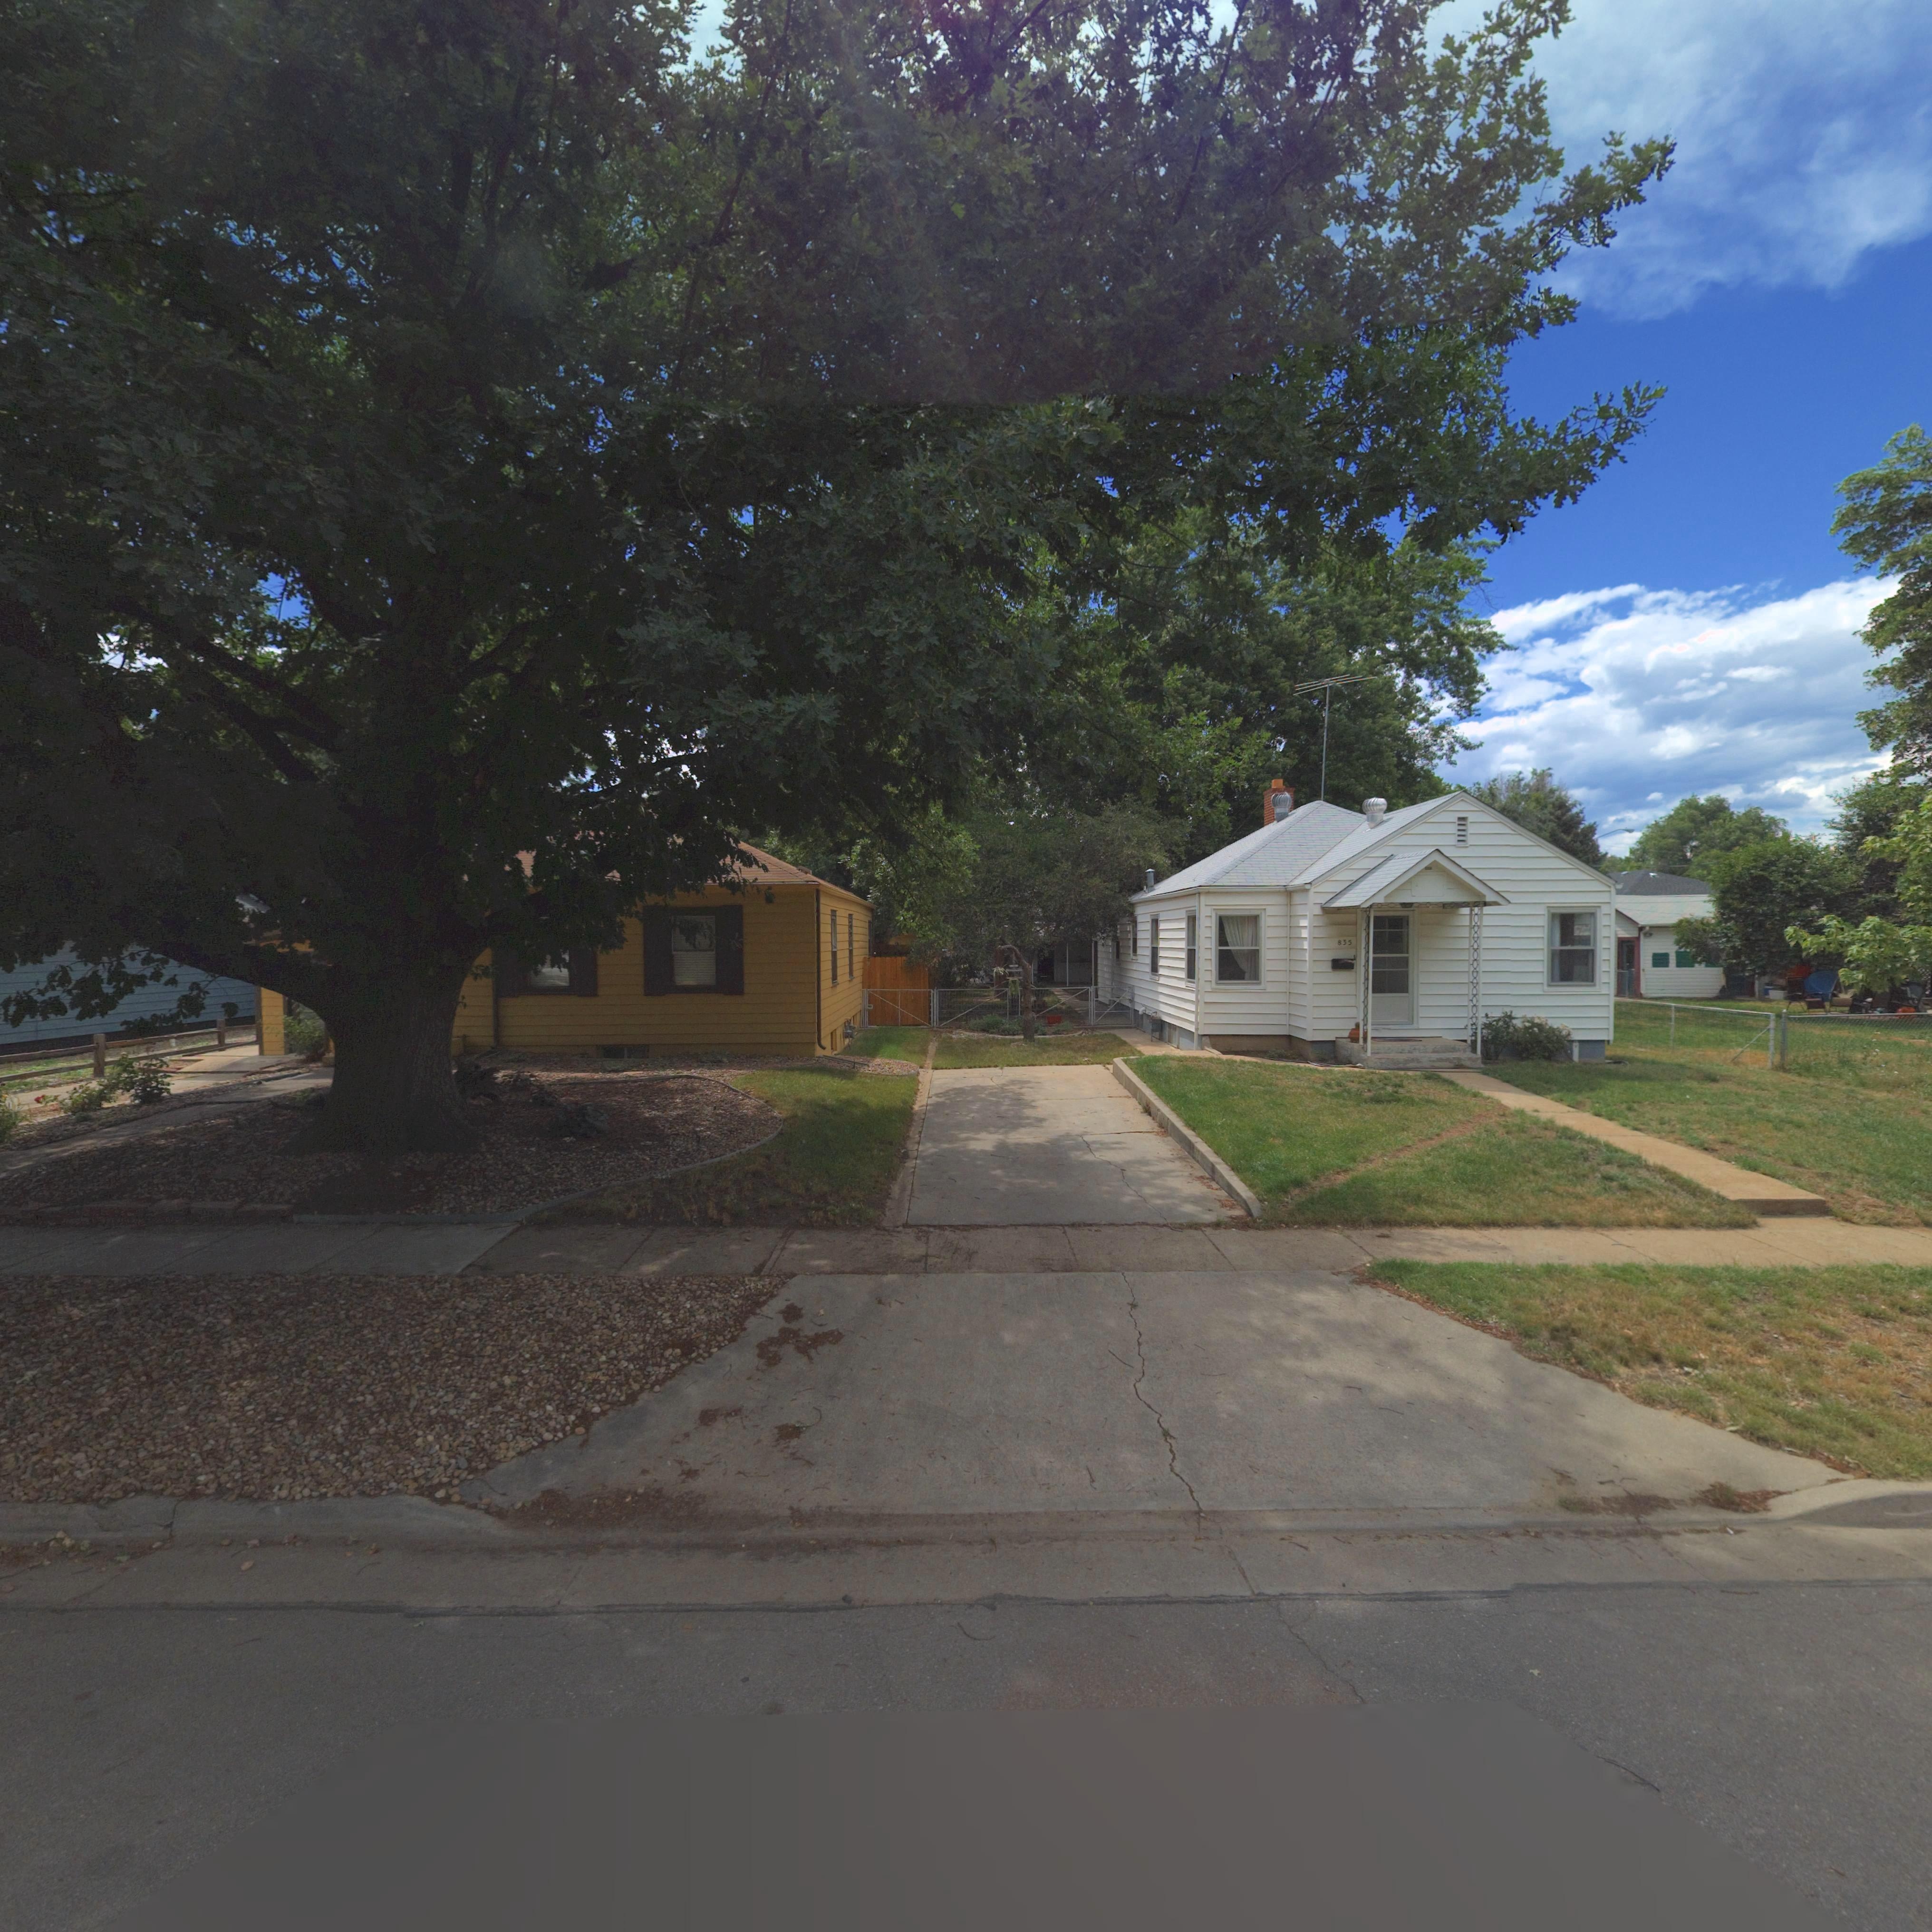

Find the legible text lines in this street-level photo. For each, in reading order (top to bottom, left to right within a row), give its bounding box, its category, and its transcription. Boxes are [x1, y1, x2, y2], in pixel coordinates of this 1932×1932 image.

[1336, 939, 1352, 946] StreetNumber: 835